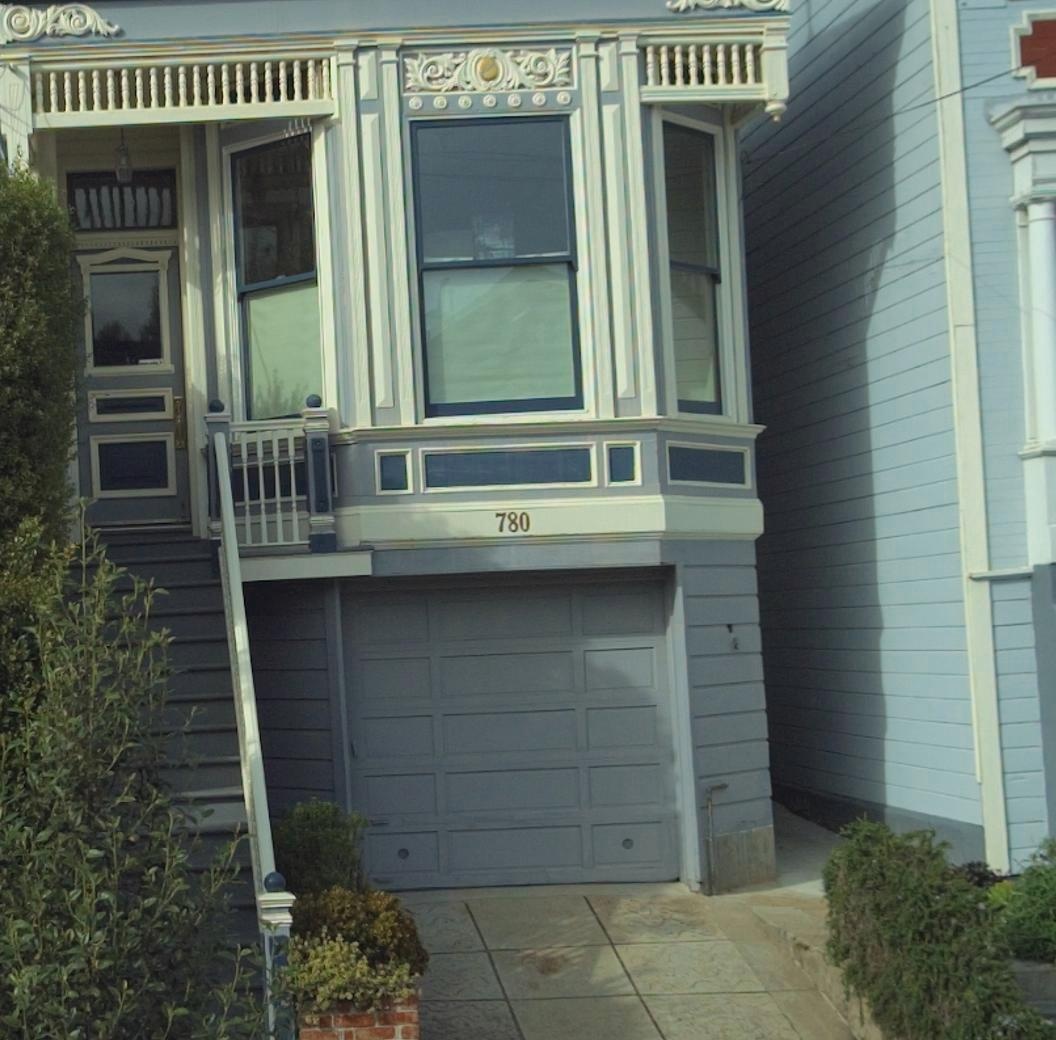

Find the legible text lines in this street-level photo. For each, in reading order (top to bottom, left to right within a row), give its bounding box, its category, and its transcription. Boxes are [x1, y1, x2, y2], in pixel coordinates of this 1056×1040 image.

[495, 511, 530, 533] StreetNumber: 780